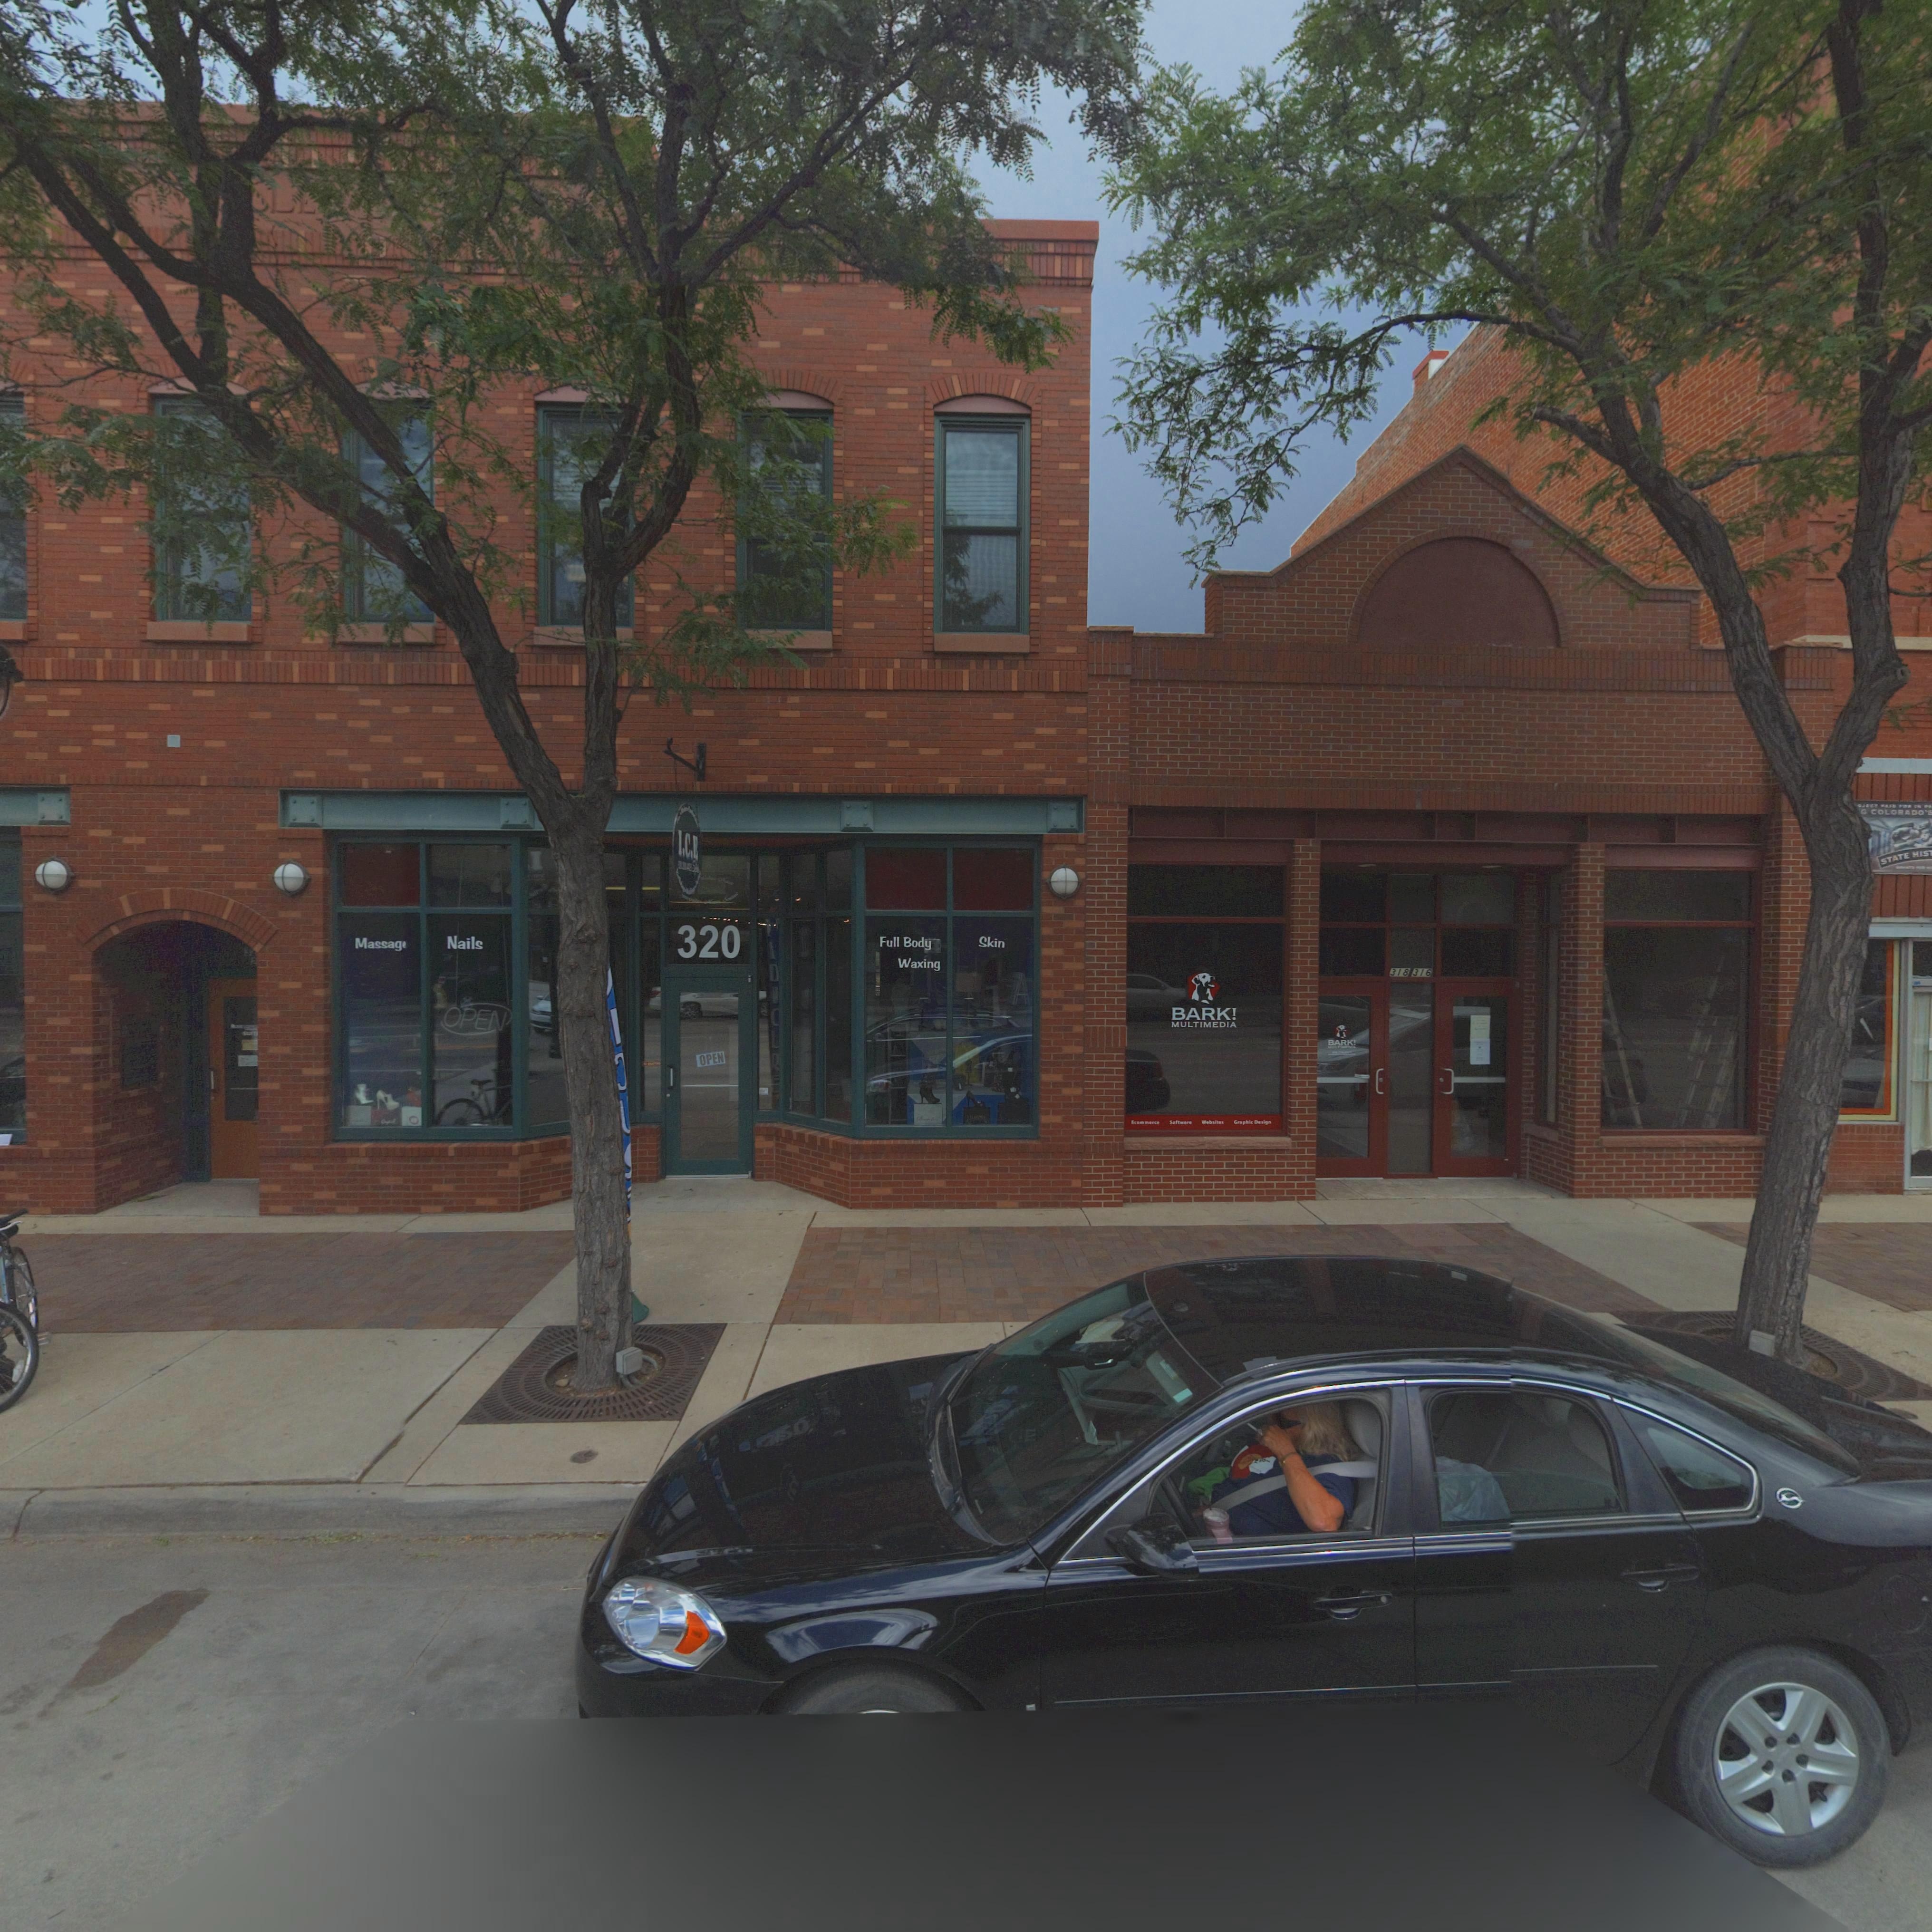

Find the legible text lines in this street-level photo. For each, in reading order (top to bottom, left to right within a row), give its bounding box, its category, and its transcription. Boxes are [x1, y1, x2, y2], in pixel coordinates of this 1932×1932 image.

[678, 829, 698, 861] BusinessName: I.C.E
[676, 924, 741, 959] StreetNumber: 320
[1389, 968, 1409, 976] StreetNumber: 318
[1412, 968, 1431, 976] StreetNumber: 316
[1171, 1006, 1237, 1021] BusinessName: BARK!
[1171, 1021, 1237, 1028] BusinessName: MULTIMEDIA
[1328, 1039, 1356, 1045] BusinessName: BARK!
[1328, 1045, 1357, 1048] BusinessName: **LT***D*A